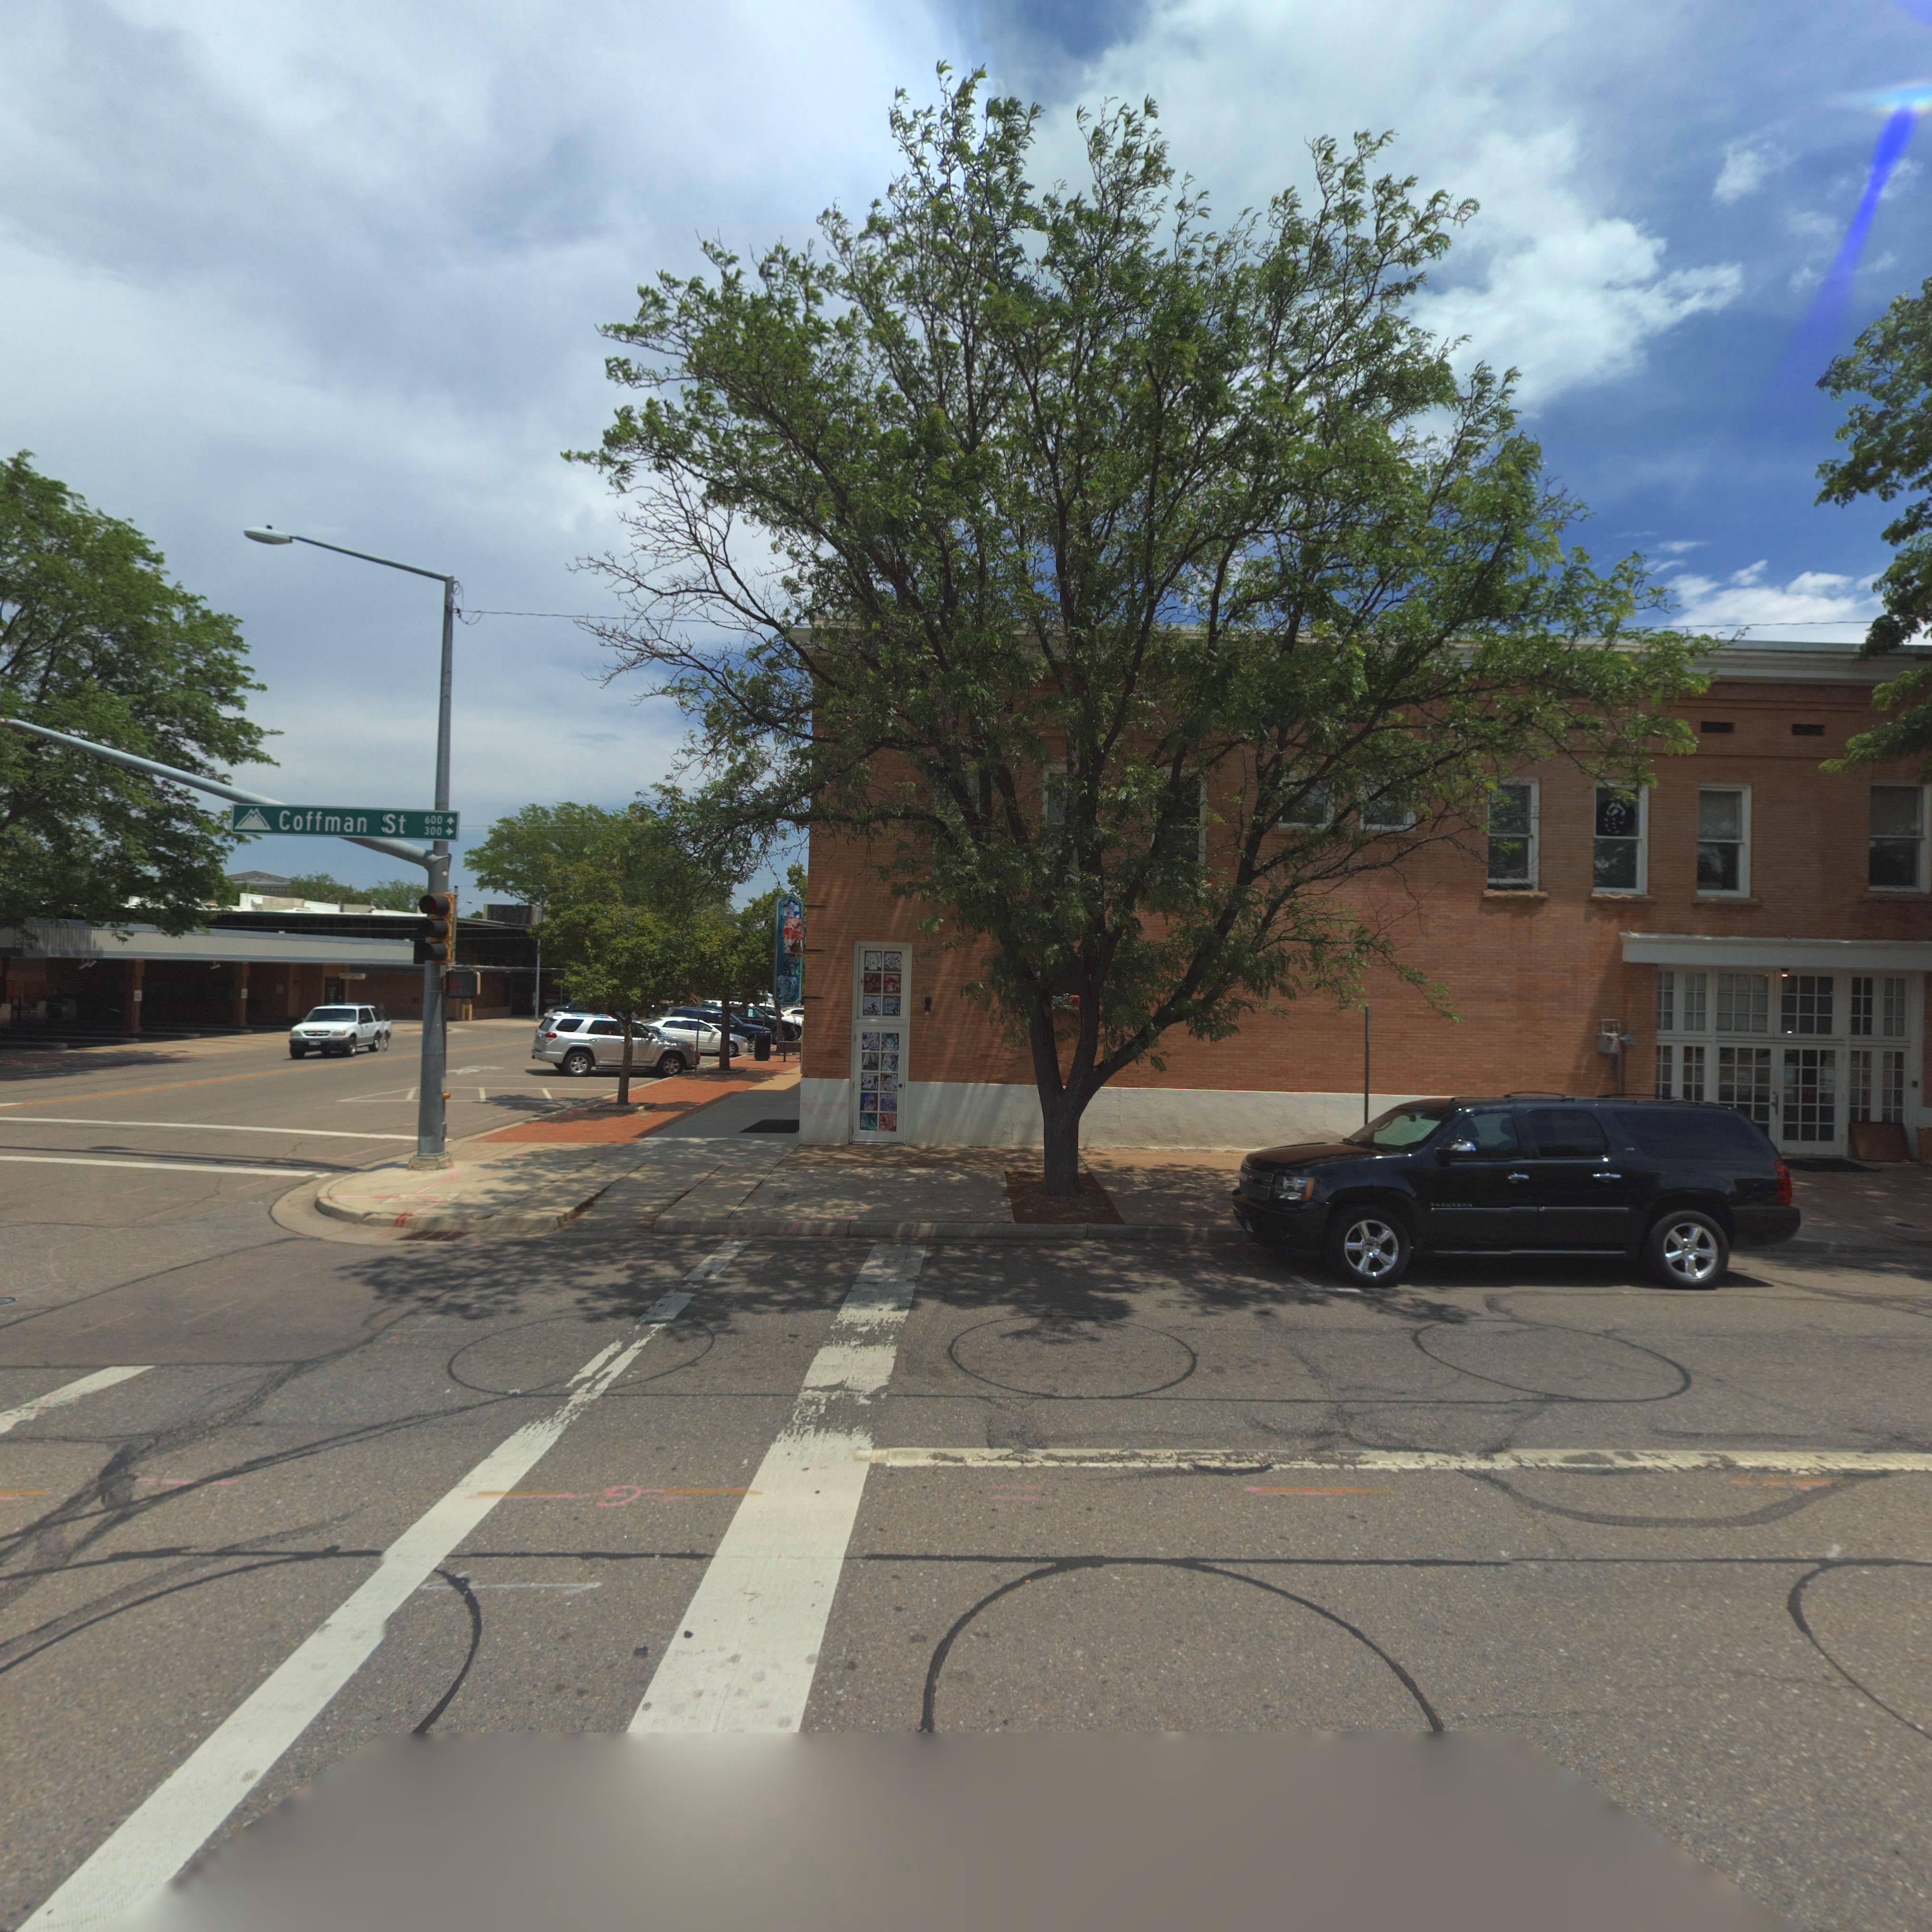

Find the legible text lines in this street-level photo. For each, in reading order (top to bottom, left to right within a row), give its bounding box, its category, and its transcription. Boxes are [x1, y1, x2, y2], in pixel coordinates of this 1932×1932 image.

[278, 809, 406, 835] StreetName: Coffman St
[423, 815, 443, 824] StreetNumberRange: 600
[424, 826, 454, 836] StreetNumberRange: 300->